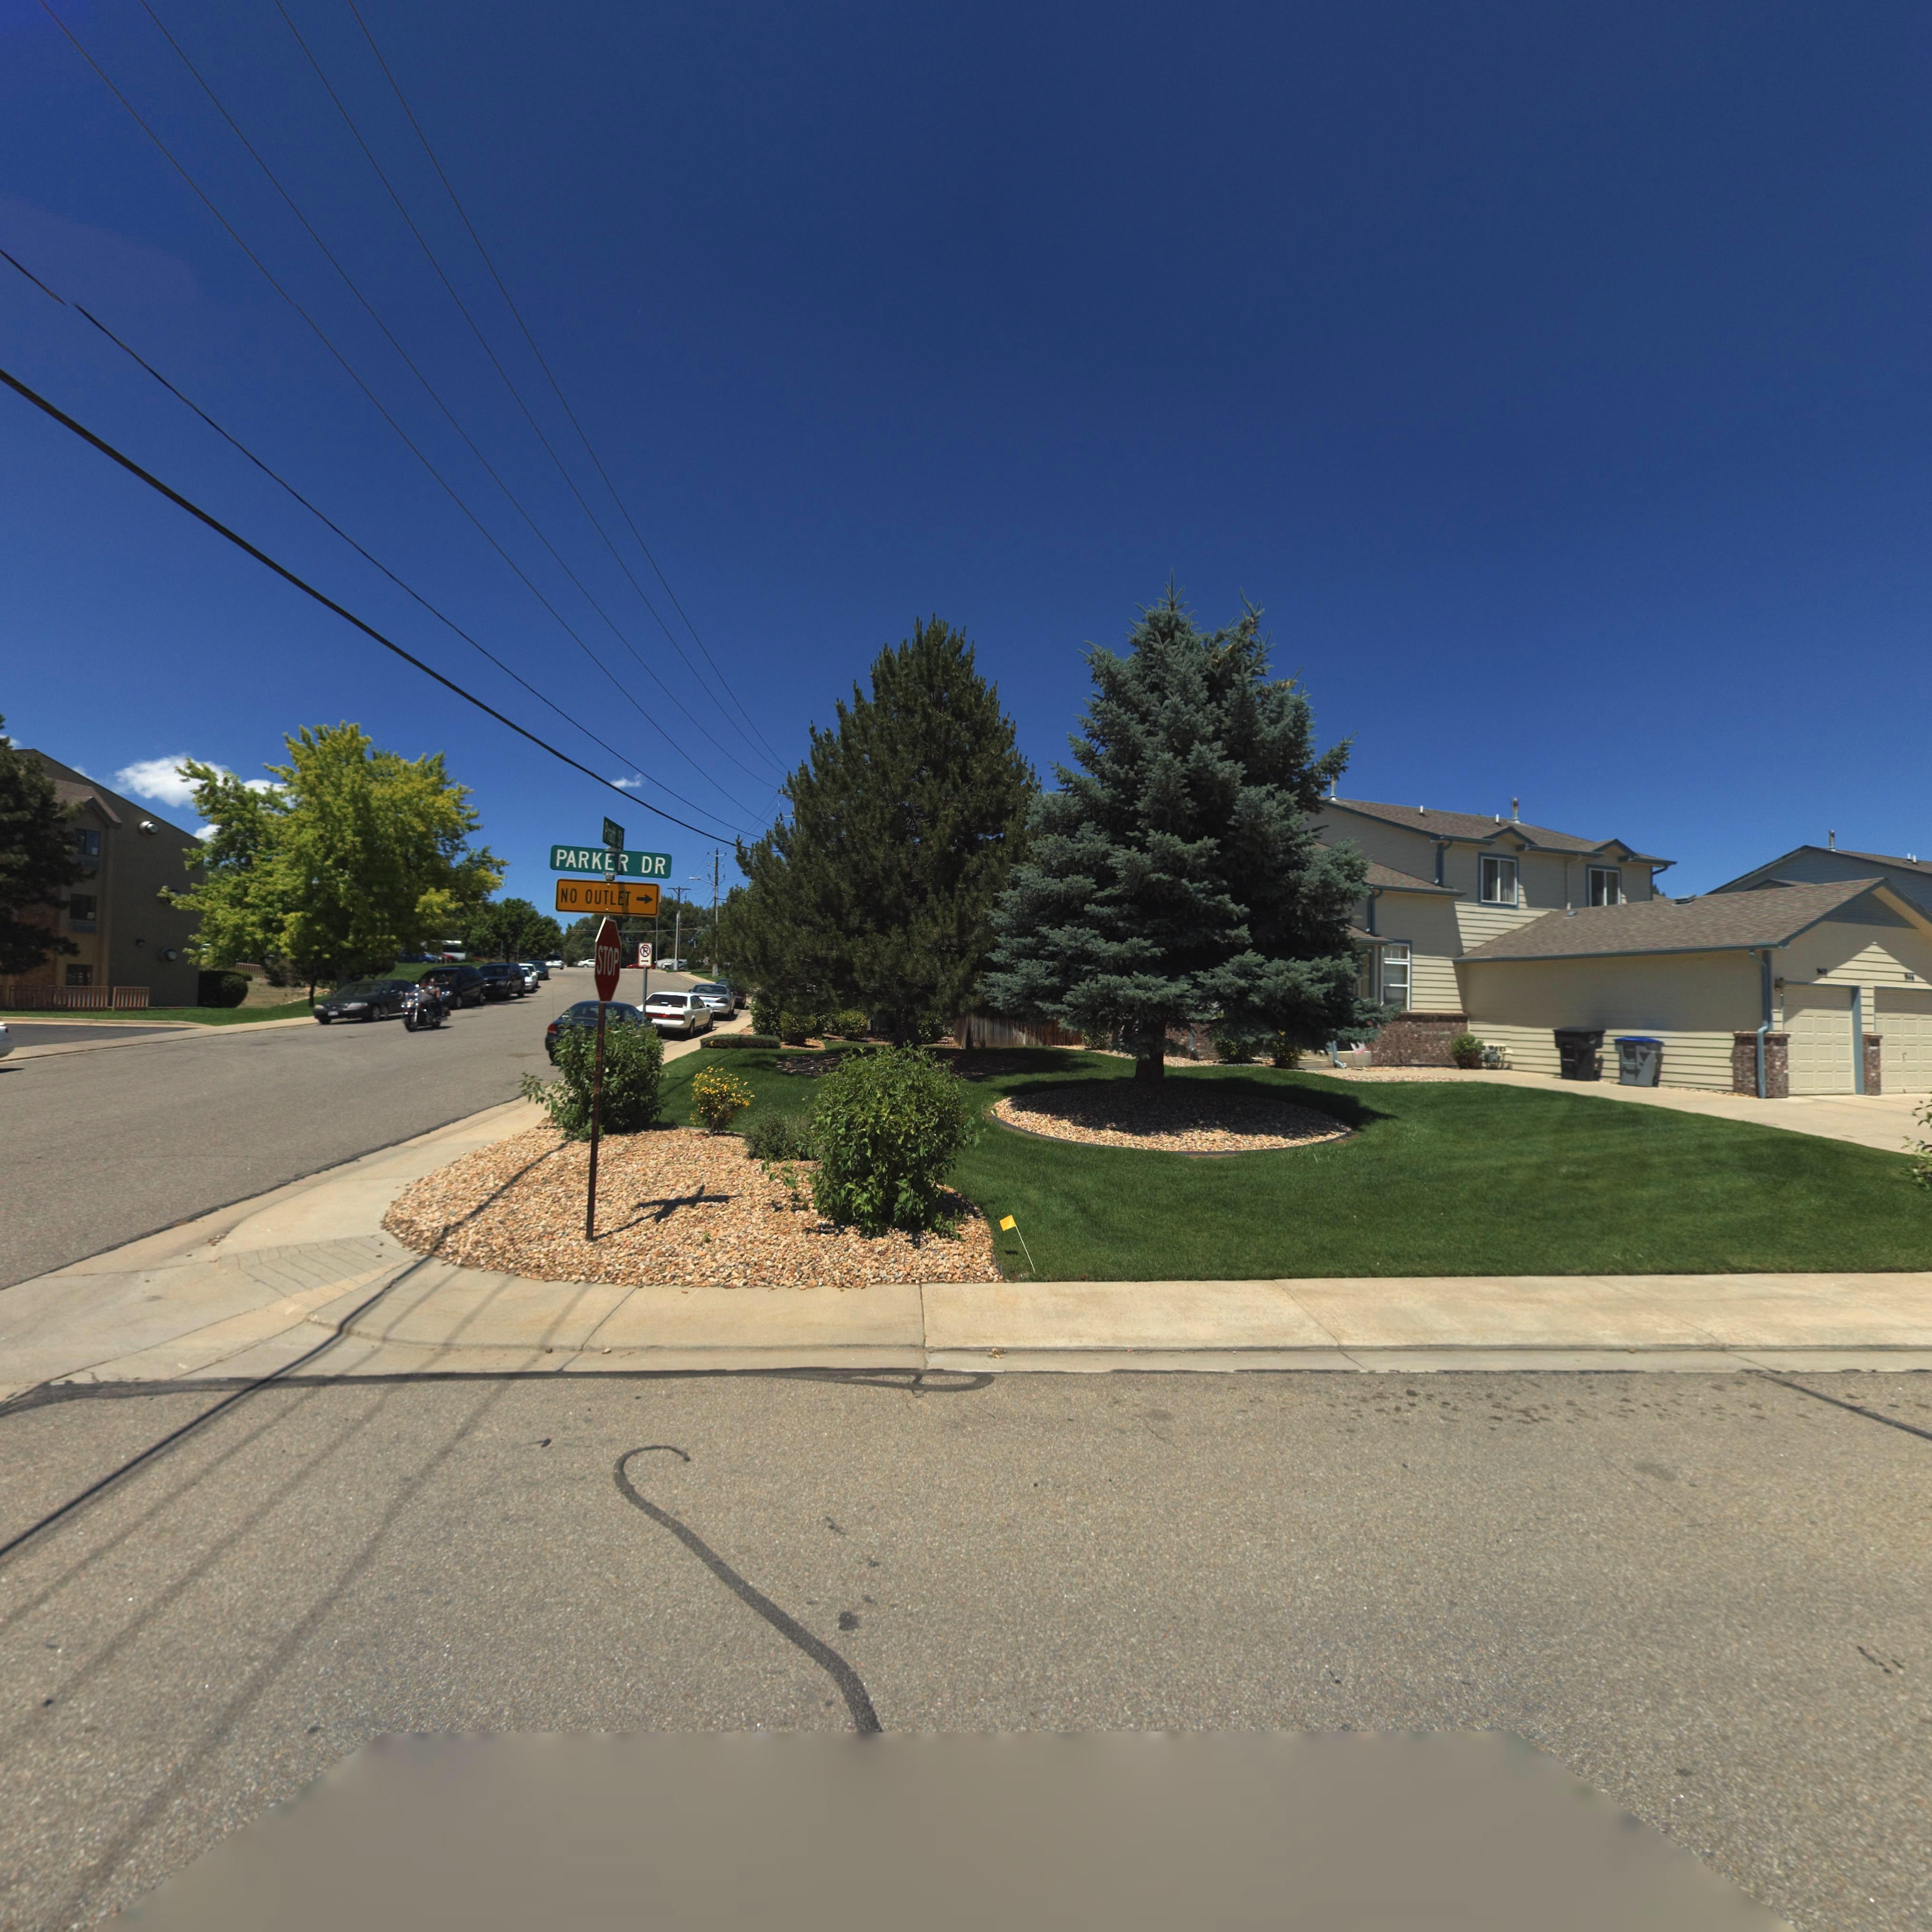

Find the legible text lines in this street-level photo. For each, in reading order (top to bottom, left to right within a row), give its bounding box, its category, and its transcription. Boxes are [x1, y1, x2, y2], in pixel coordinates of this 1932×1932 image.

[603, 821, 623, 849] StreetName: Pratt St
[555, 848, 666, 875] StreetName: PARKER DR
[1816, 967, 1827, 975] StreetNumber: 94*
[1904, 973, 1914, 981] StreetNumber: 9*6